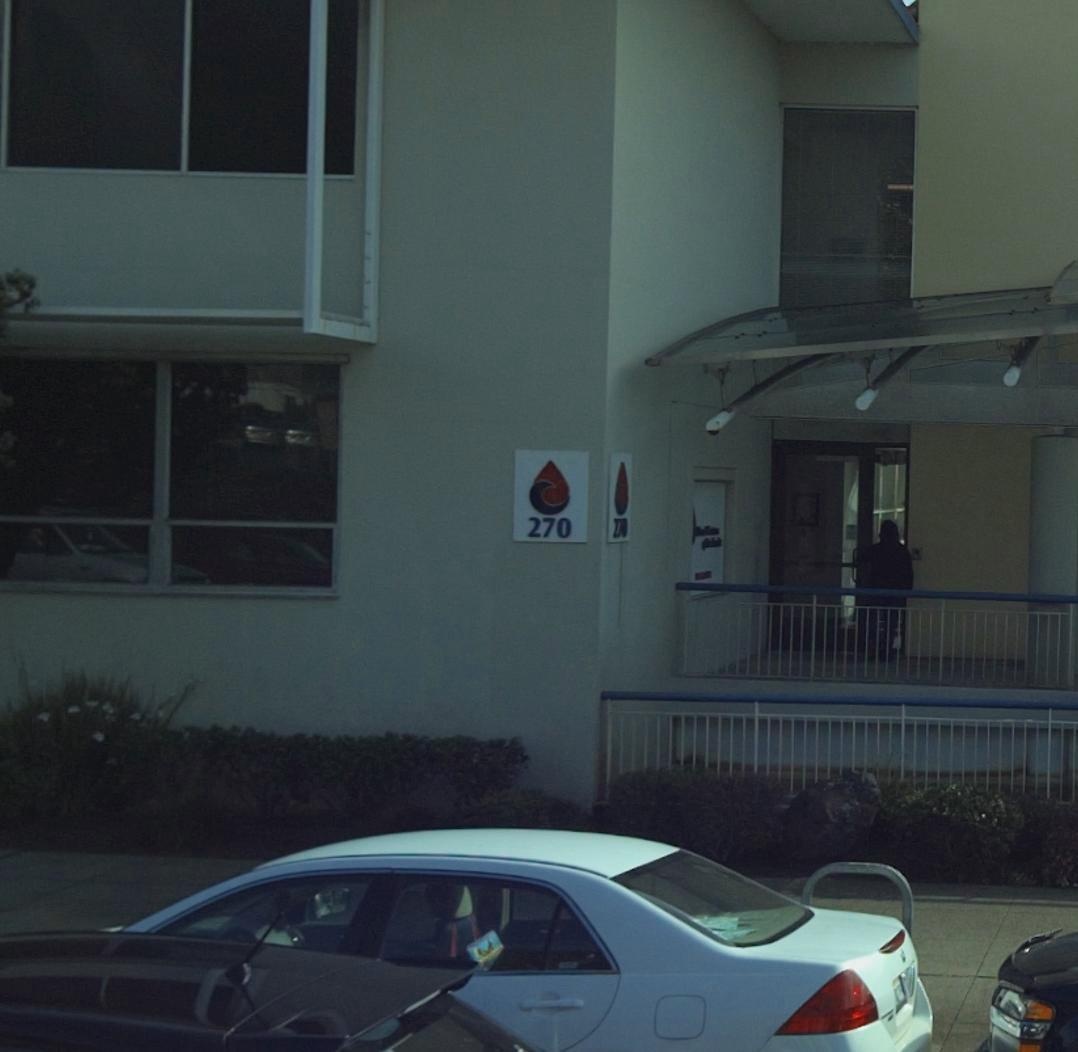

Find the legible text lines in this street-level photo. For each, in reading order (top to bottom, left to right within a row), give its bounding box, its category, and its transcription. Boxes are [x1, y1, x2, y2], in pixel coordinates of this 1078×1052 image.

[524, 514, 574, 540] StreetNumber: 270